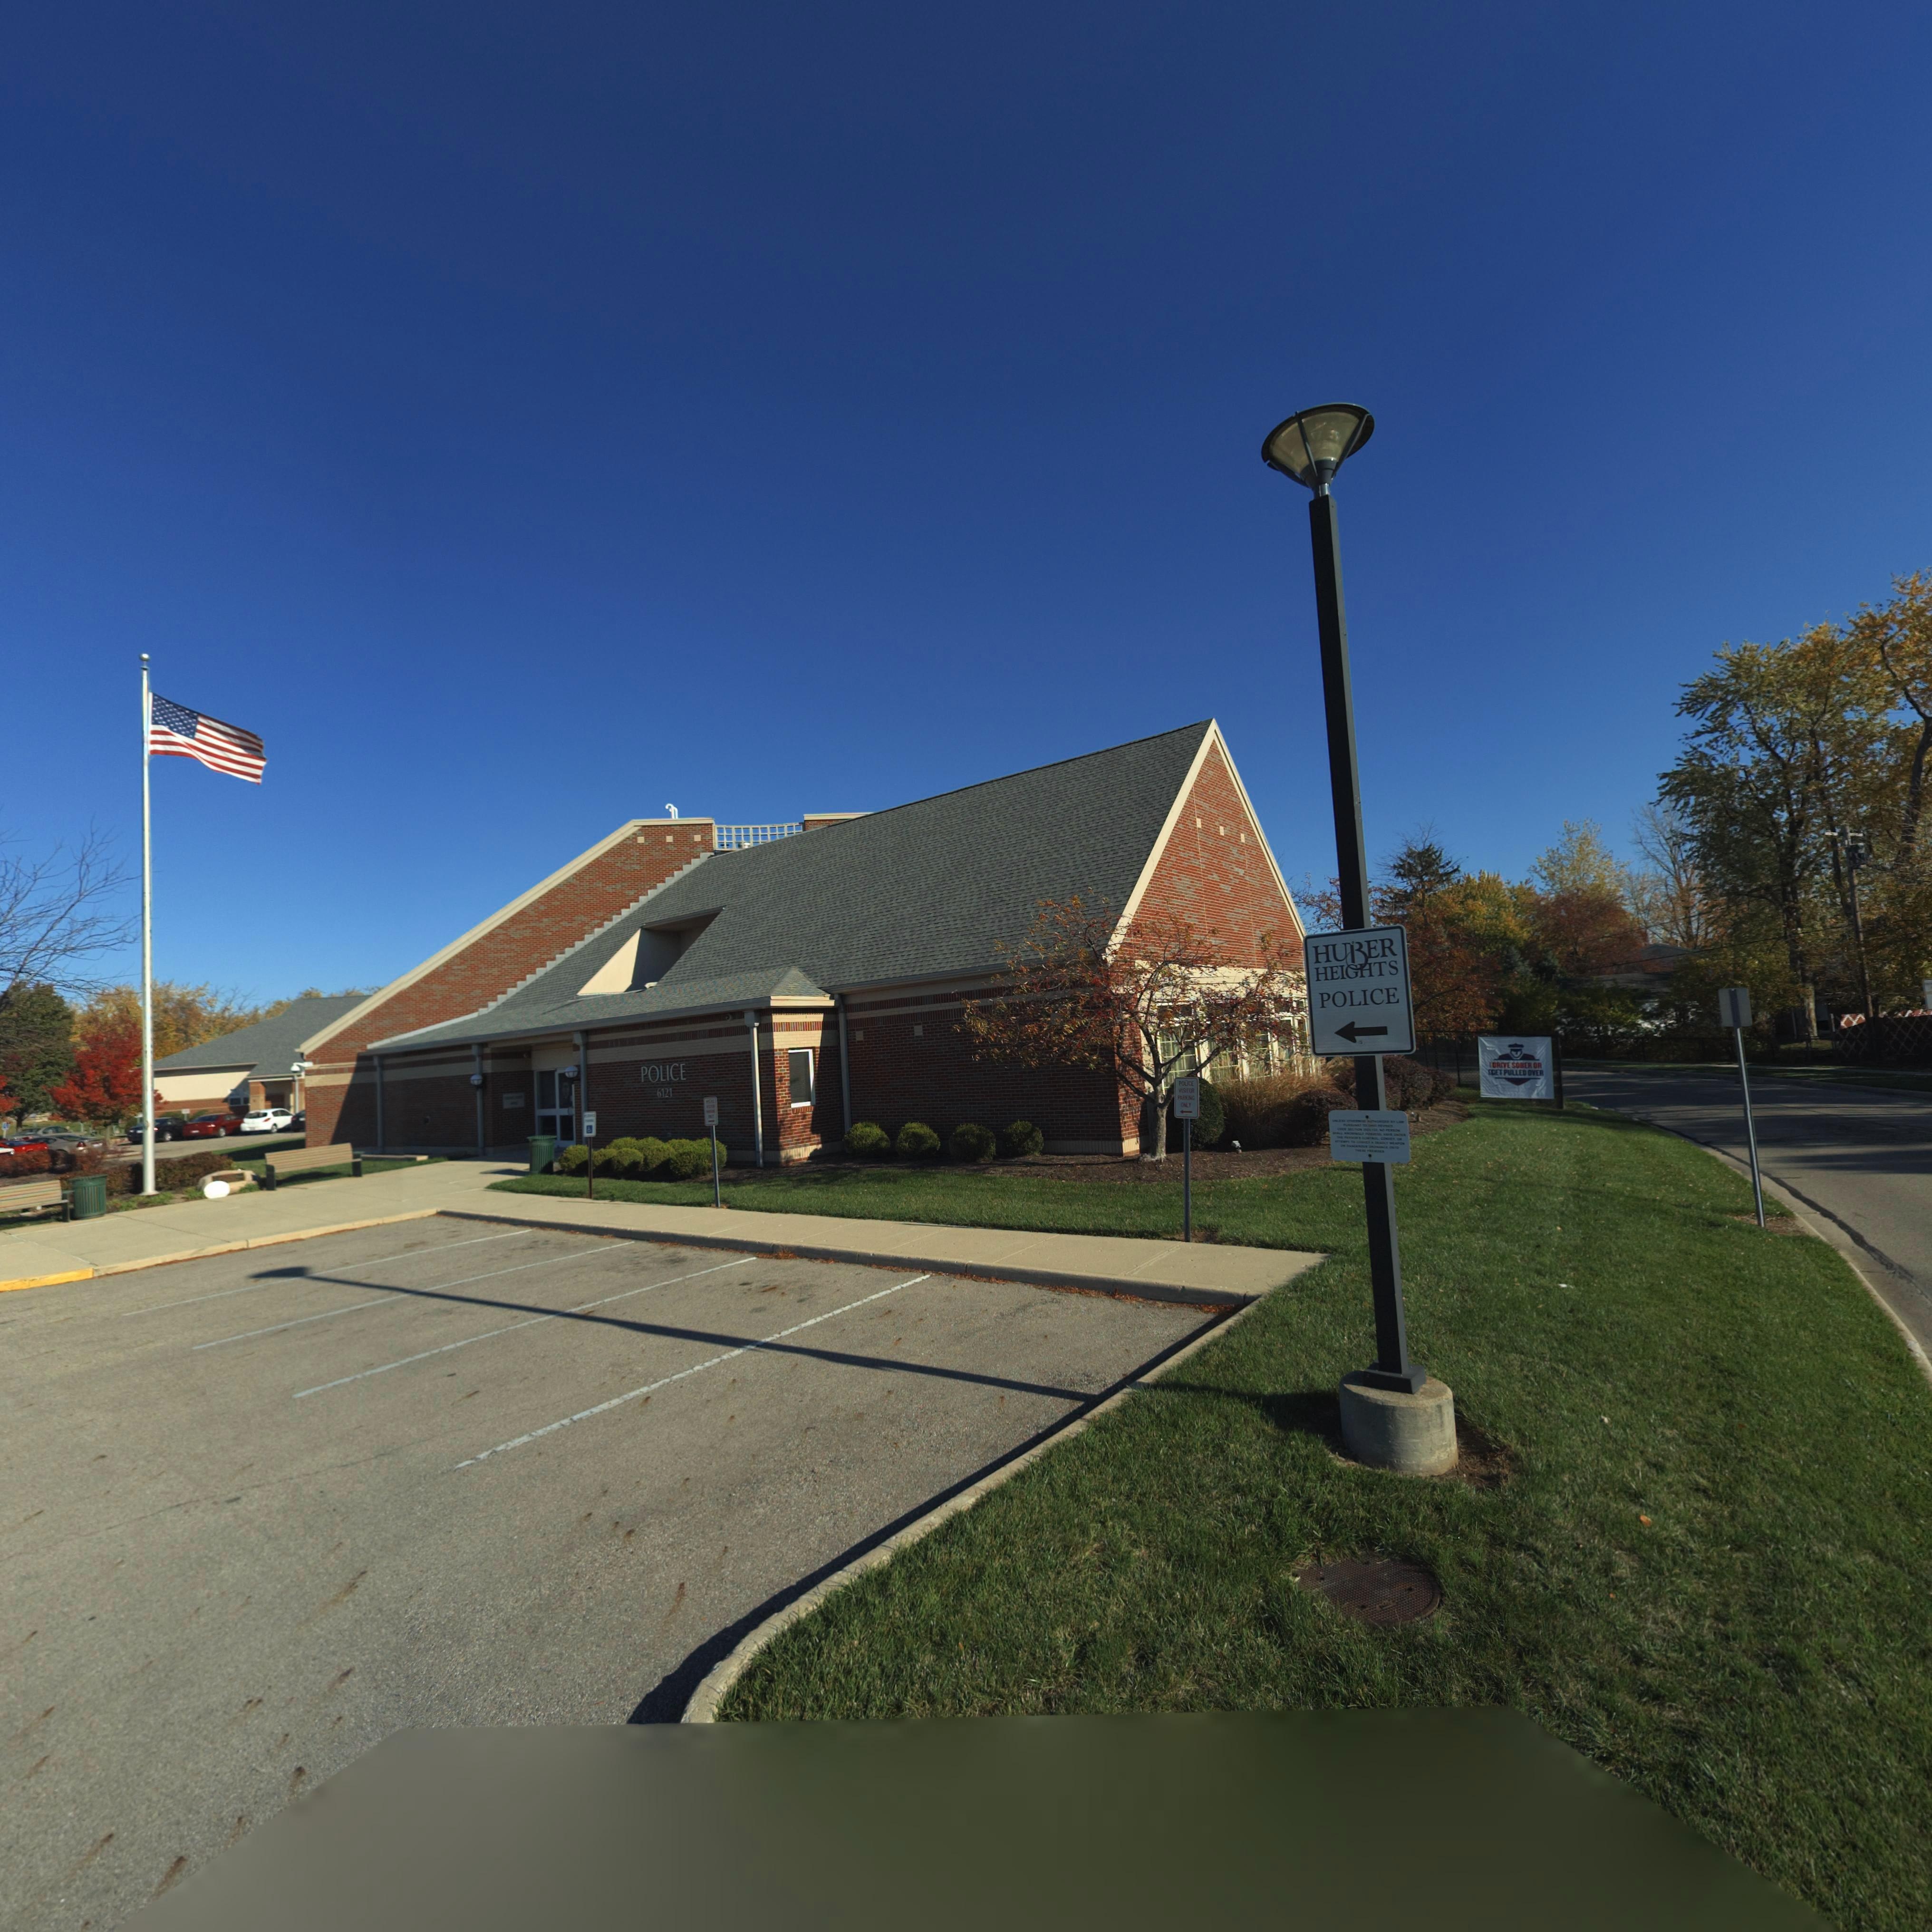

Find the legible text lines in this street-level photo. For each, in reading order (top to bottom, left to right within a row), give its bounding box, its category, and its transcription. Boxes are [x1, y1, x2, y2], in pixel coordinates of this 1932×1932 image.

[656, 1087, 673, 1098] StreetNumber: 6121